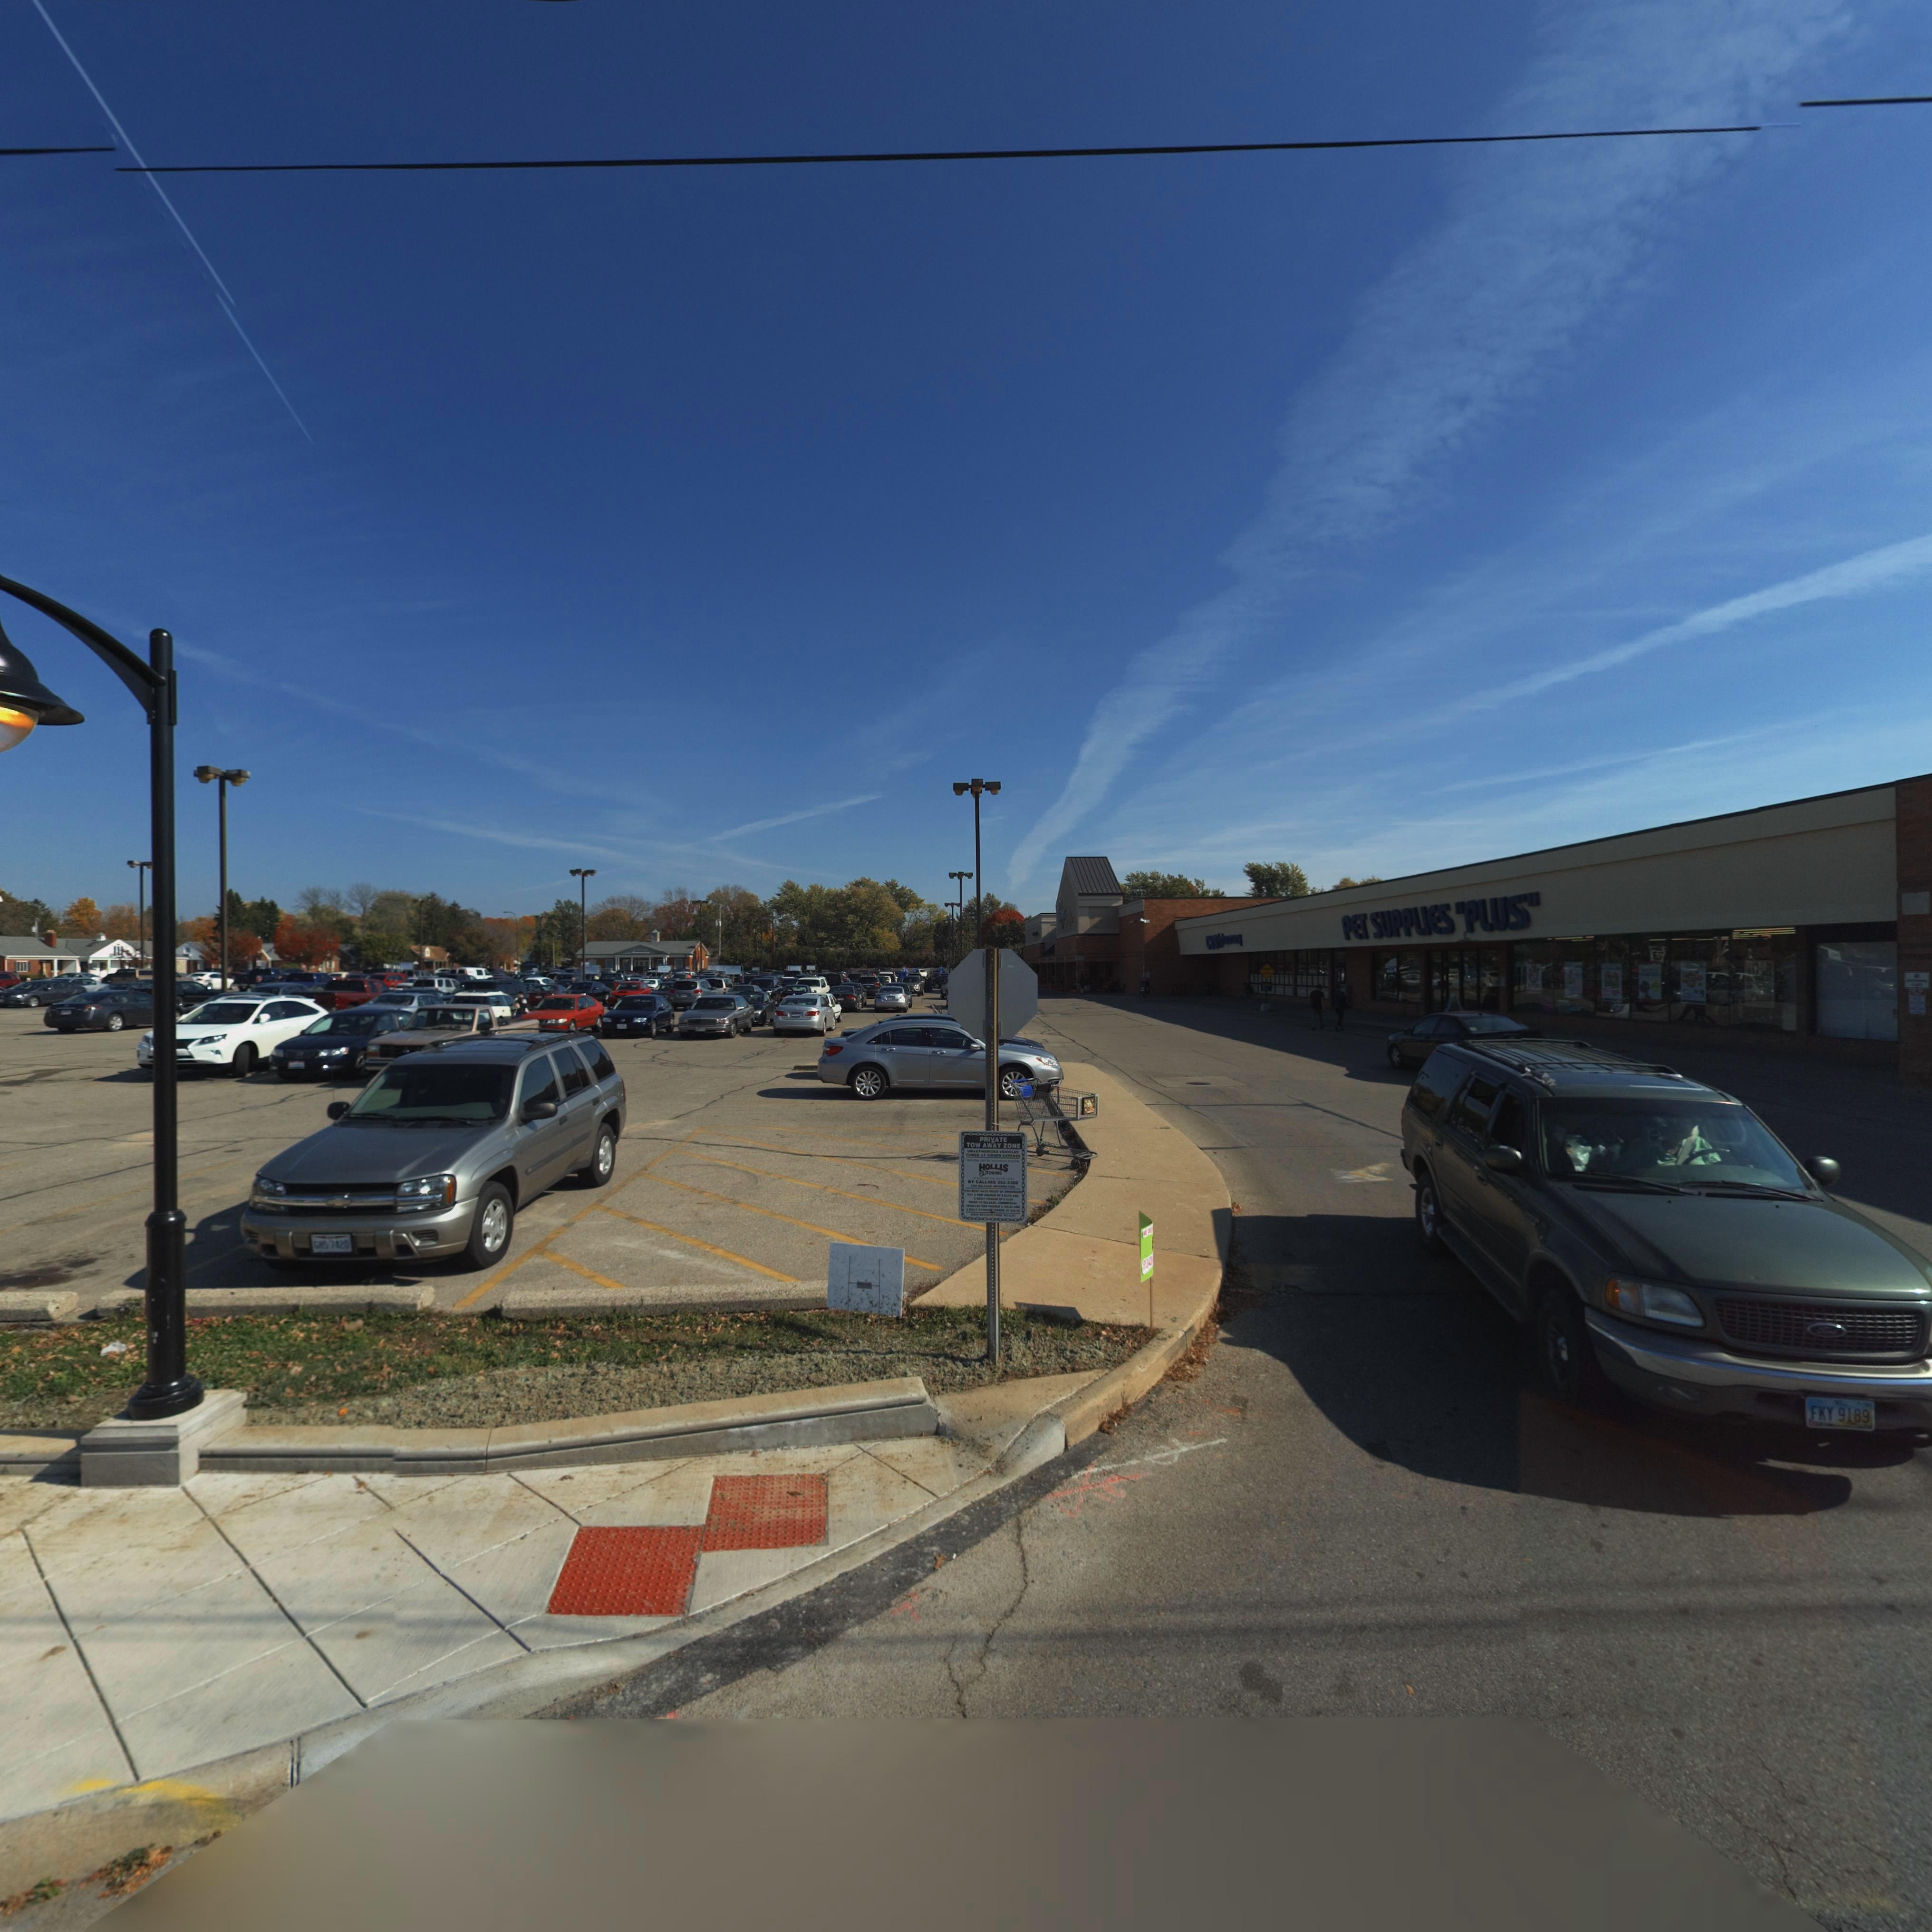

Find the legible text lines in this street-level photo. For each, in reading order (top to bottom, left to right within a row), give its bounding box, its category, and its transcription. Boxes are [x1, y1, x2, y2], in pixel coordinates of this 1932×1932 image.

[1341, 892, 1538, 941] BusinessName: PET SUPPLIES "PLU*"
[1205, 935, 1218, 950] BusinessName: CVS
[979, 1136, 1008, 1143] None: PRI*ATE
[966, 1142, 1021, 1149] None: TOW AWAY ZONE
[966, 1149, 1019, 1154] None: UNAUTHORIZED VEHICLES
[965, 1153, 1021, 1158] None: TOWED AT OWNER EXPENSE
[978, 1163, 1009, 1173] None: HOLLIS
[985, 1170, 1002, 1175] None: TOWING
[967, 1179, 1018, 1185] None: BY CALLING 252-3*56
[329, 1240, 350, 1250] None: 7420
[1810, 1404, 1869, 1424] None: FKY 9189